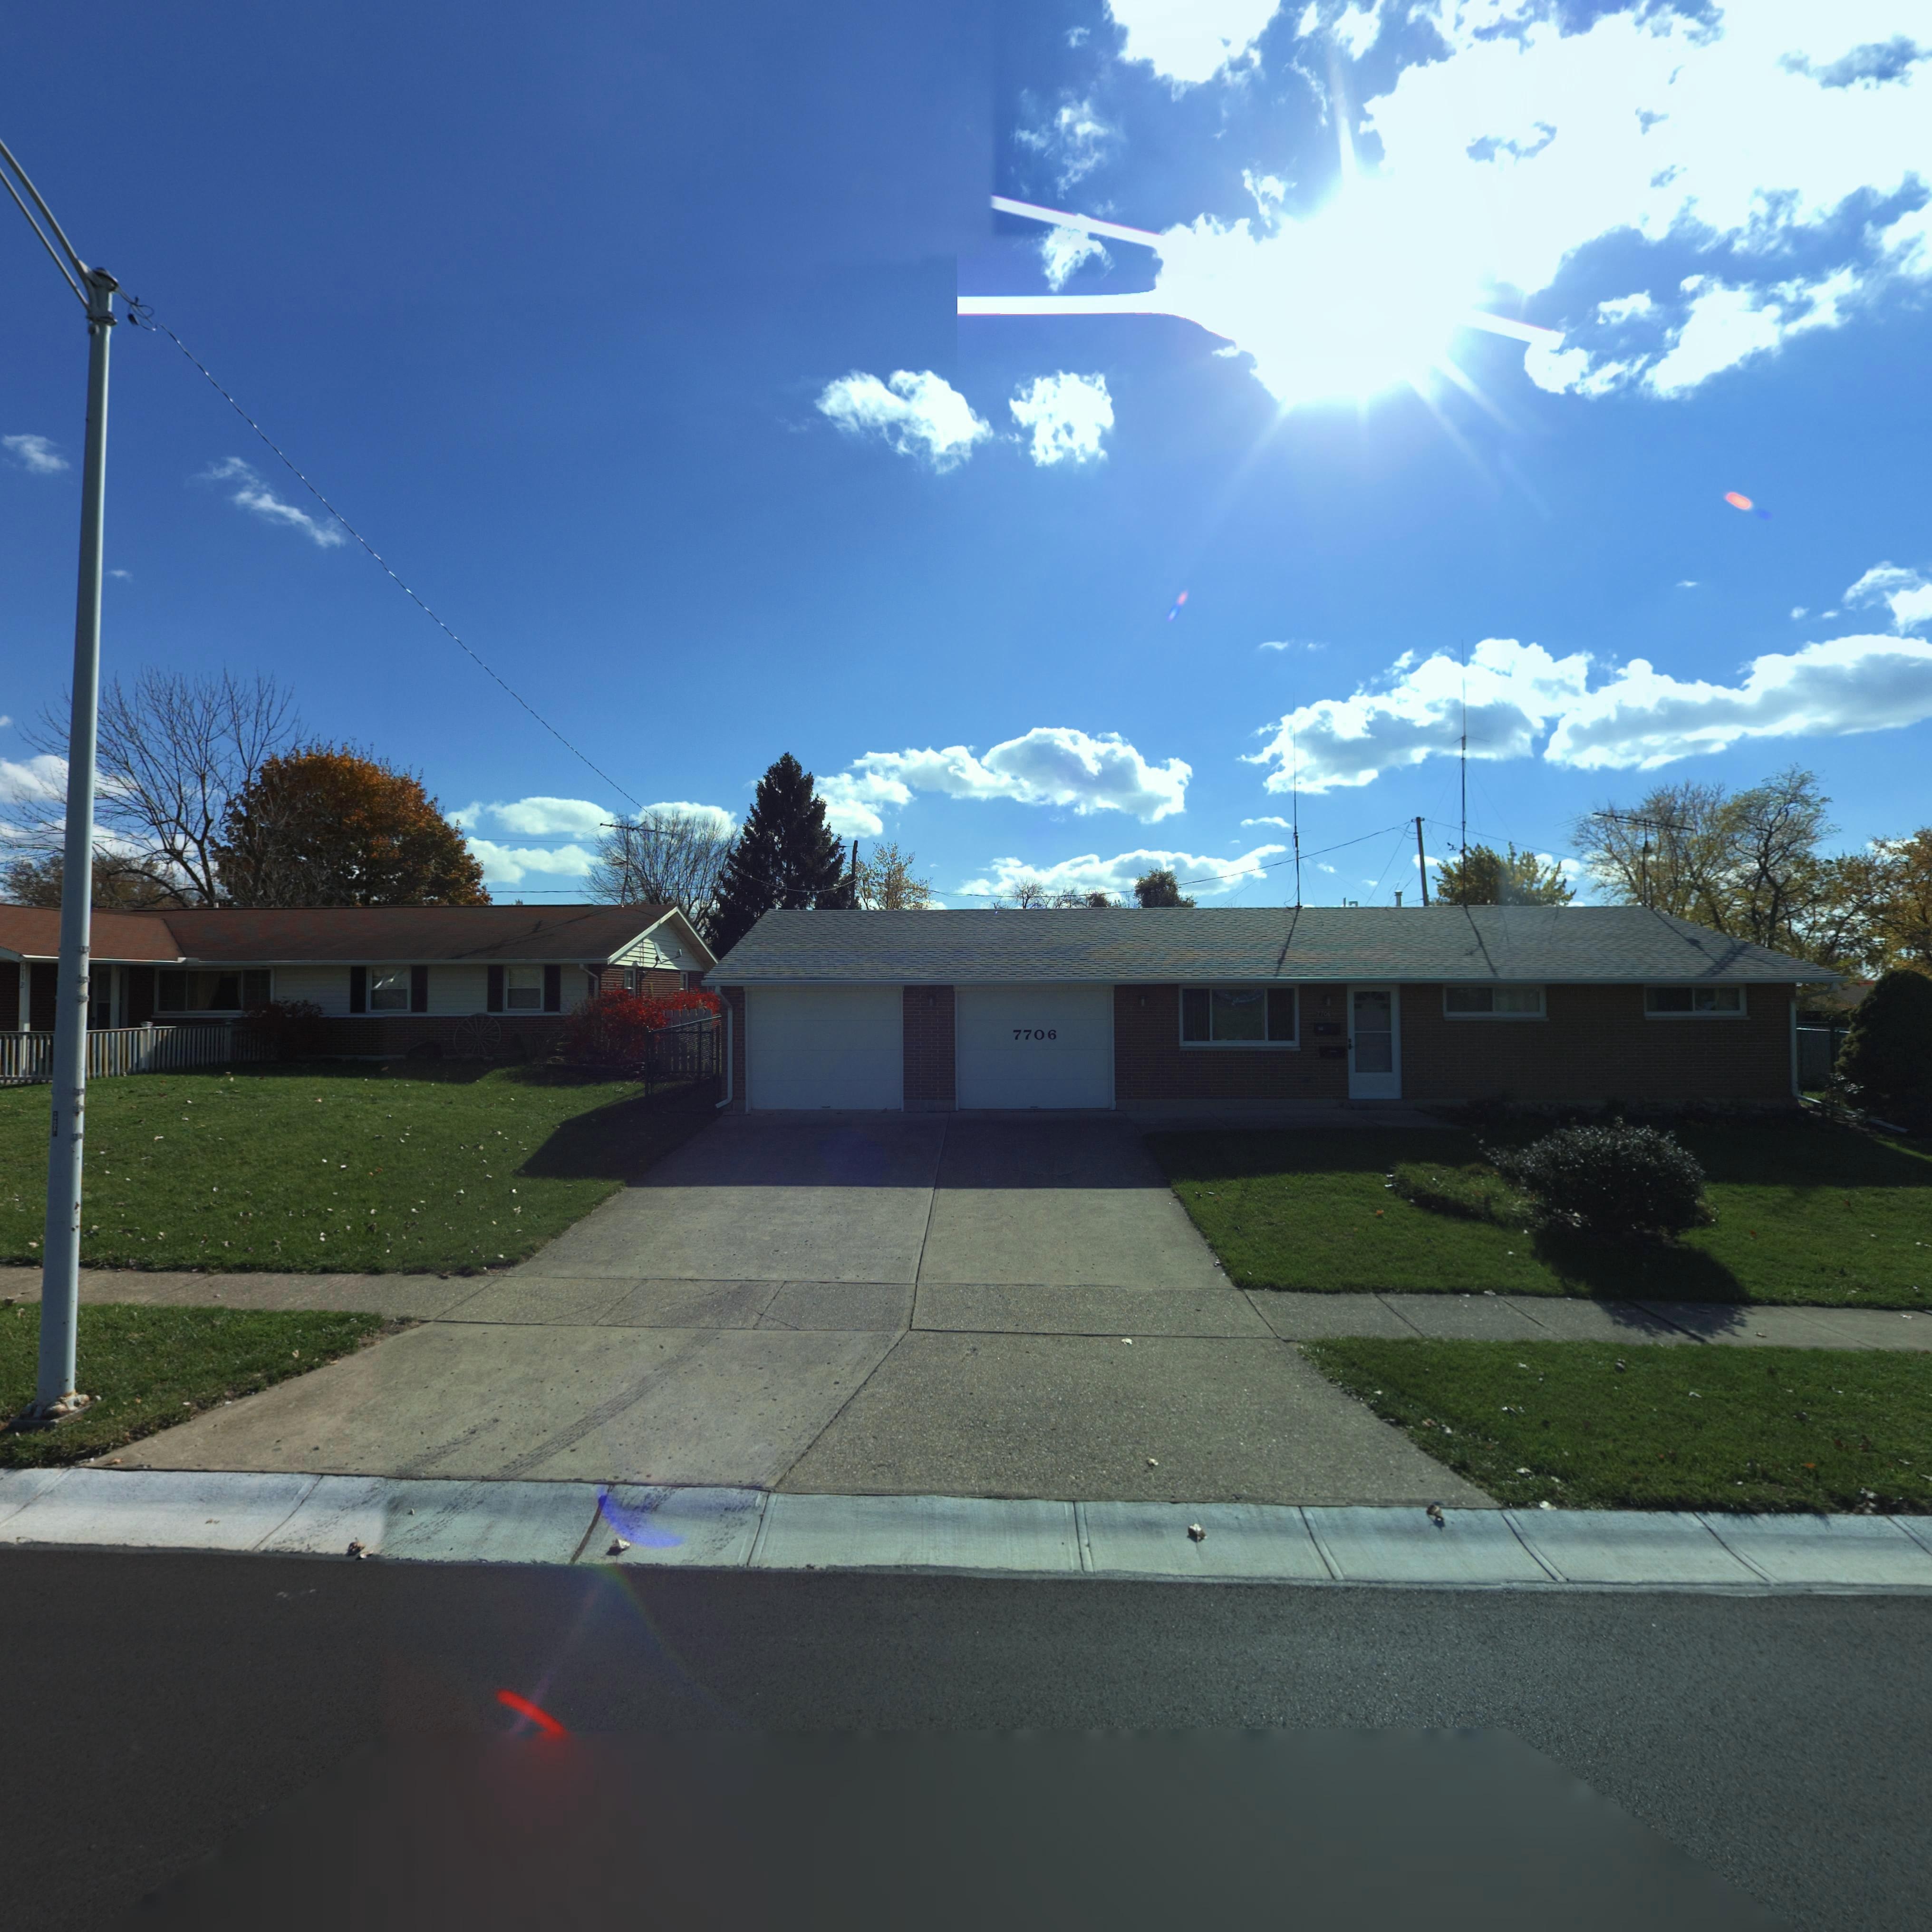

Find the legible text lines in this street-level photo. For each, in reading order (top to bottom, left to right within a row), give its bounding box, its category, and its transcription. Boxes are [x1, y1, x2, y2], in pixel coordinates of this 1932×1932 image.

[19, 962, 26, 989] StreetNumber: 7*12
[1316, 1011, 1332, 1017] StreetNumber: 7706
[1012, 1029, 1057, 1041] StreetNumber: 7706